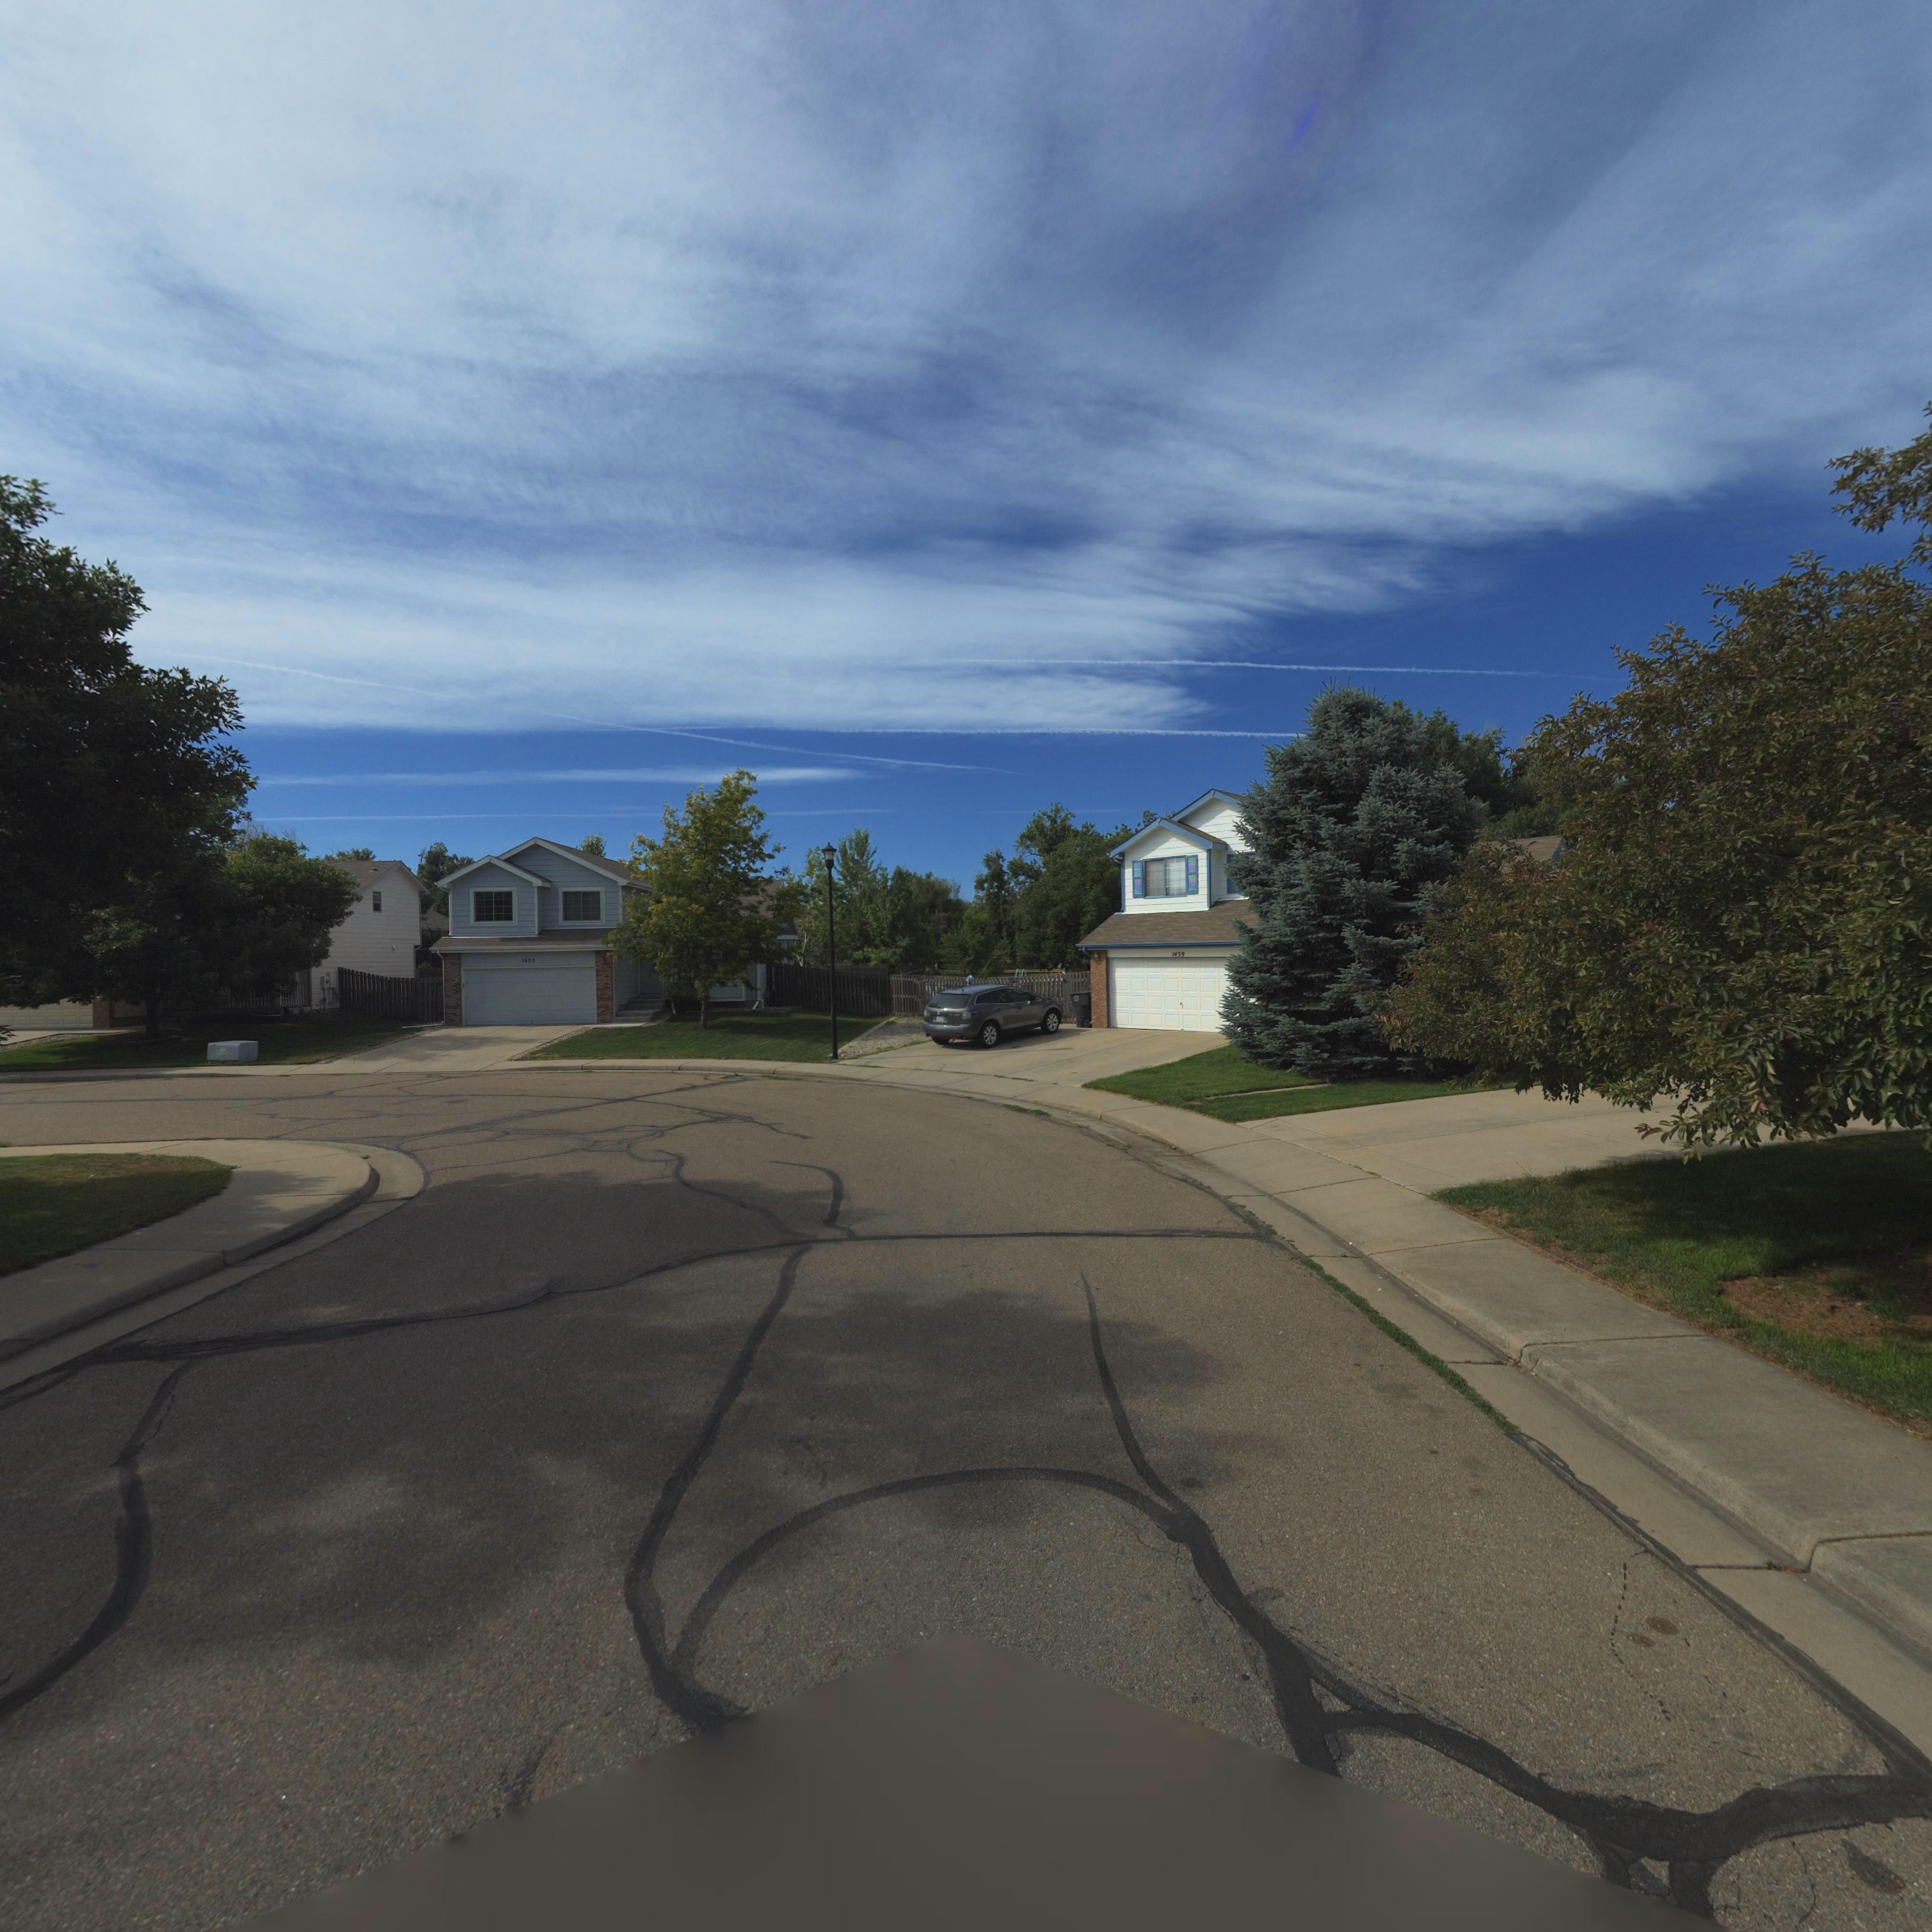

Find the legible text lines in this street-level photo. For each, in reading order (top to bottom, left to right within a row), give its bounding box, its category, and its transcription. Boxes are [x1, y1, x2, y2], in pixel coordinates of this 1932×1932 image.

[1171, 951, 1185, 957] StreetNumber: 1439
[521, 957, 535, 963] StreetNumber: 1433